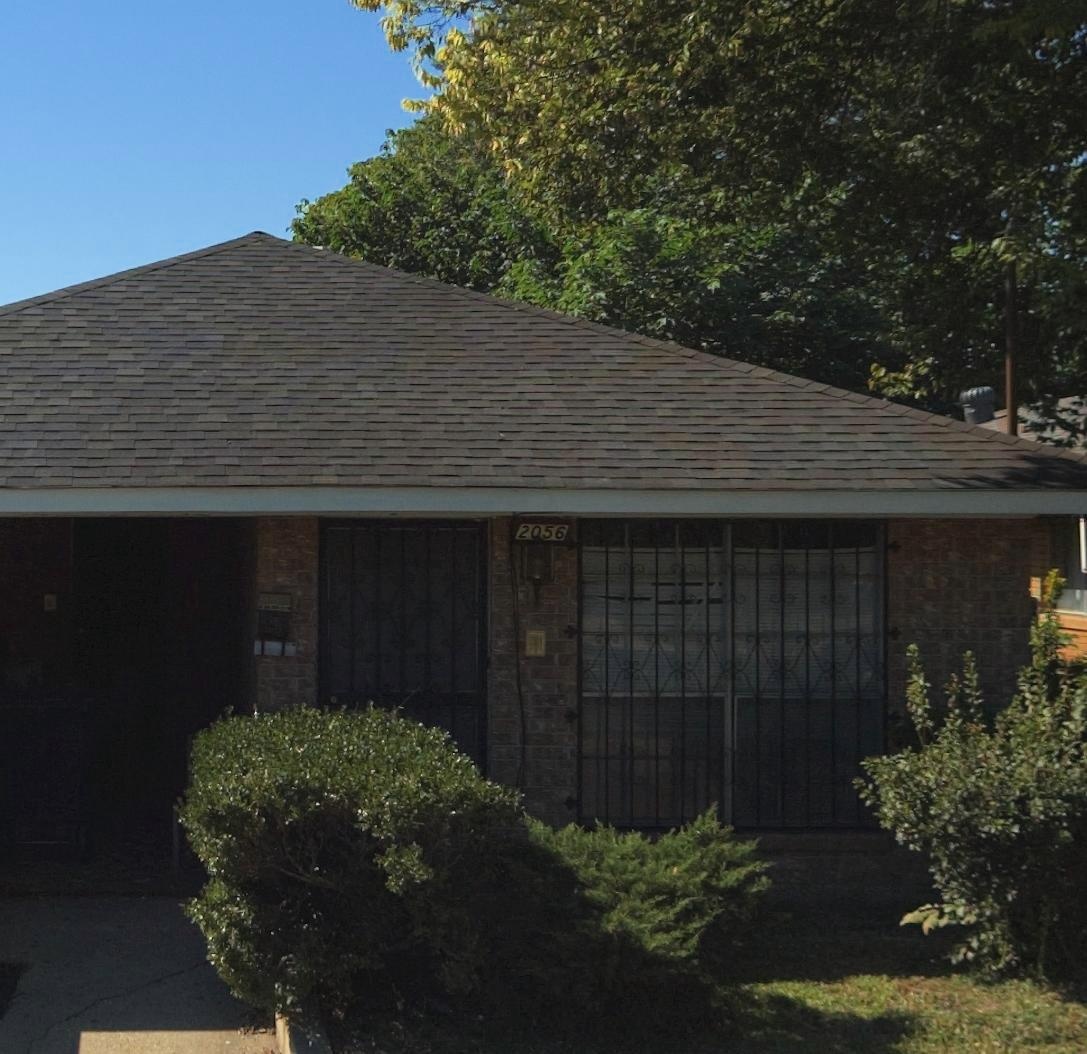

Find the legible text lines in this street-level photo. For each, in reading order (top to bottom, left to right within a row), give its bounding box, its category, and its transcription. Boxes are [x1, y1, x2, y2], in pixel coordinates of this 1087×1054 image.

[516, 523, 568, 541] StreetNumber: 2056